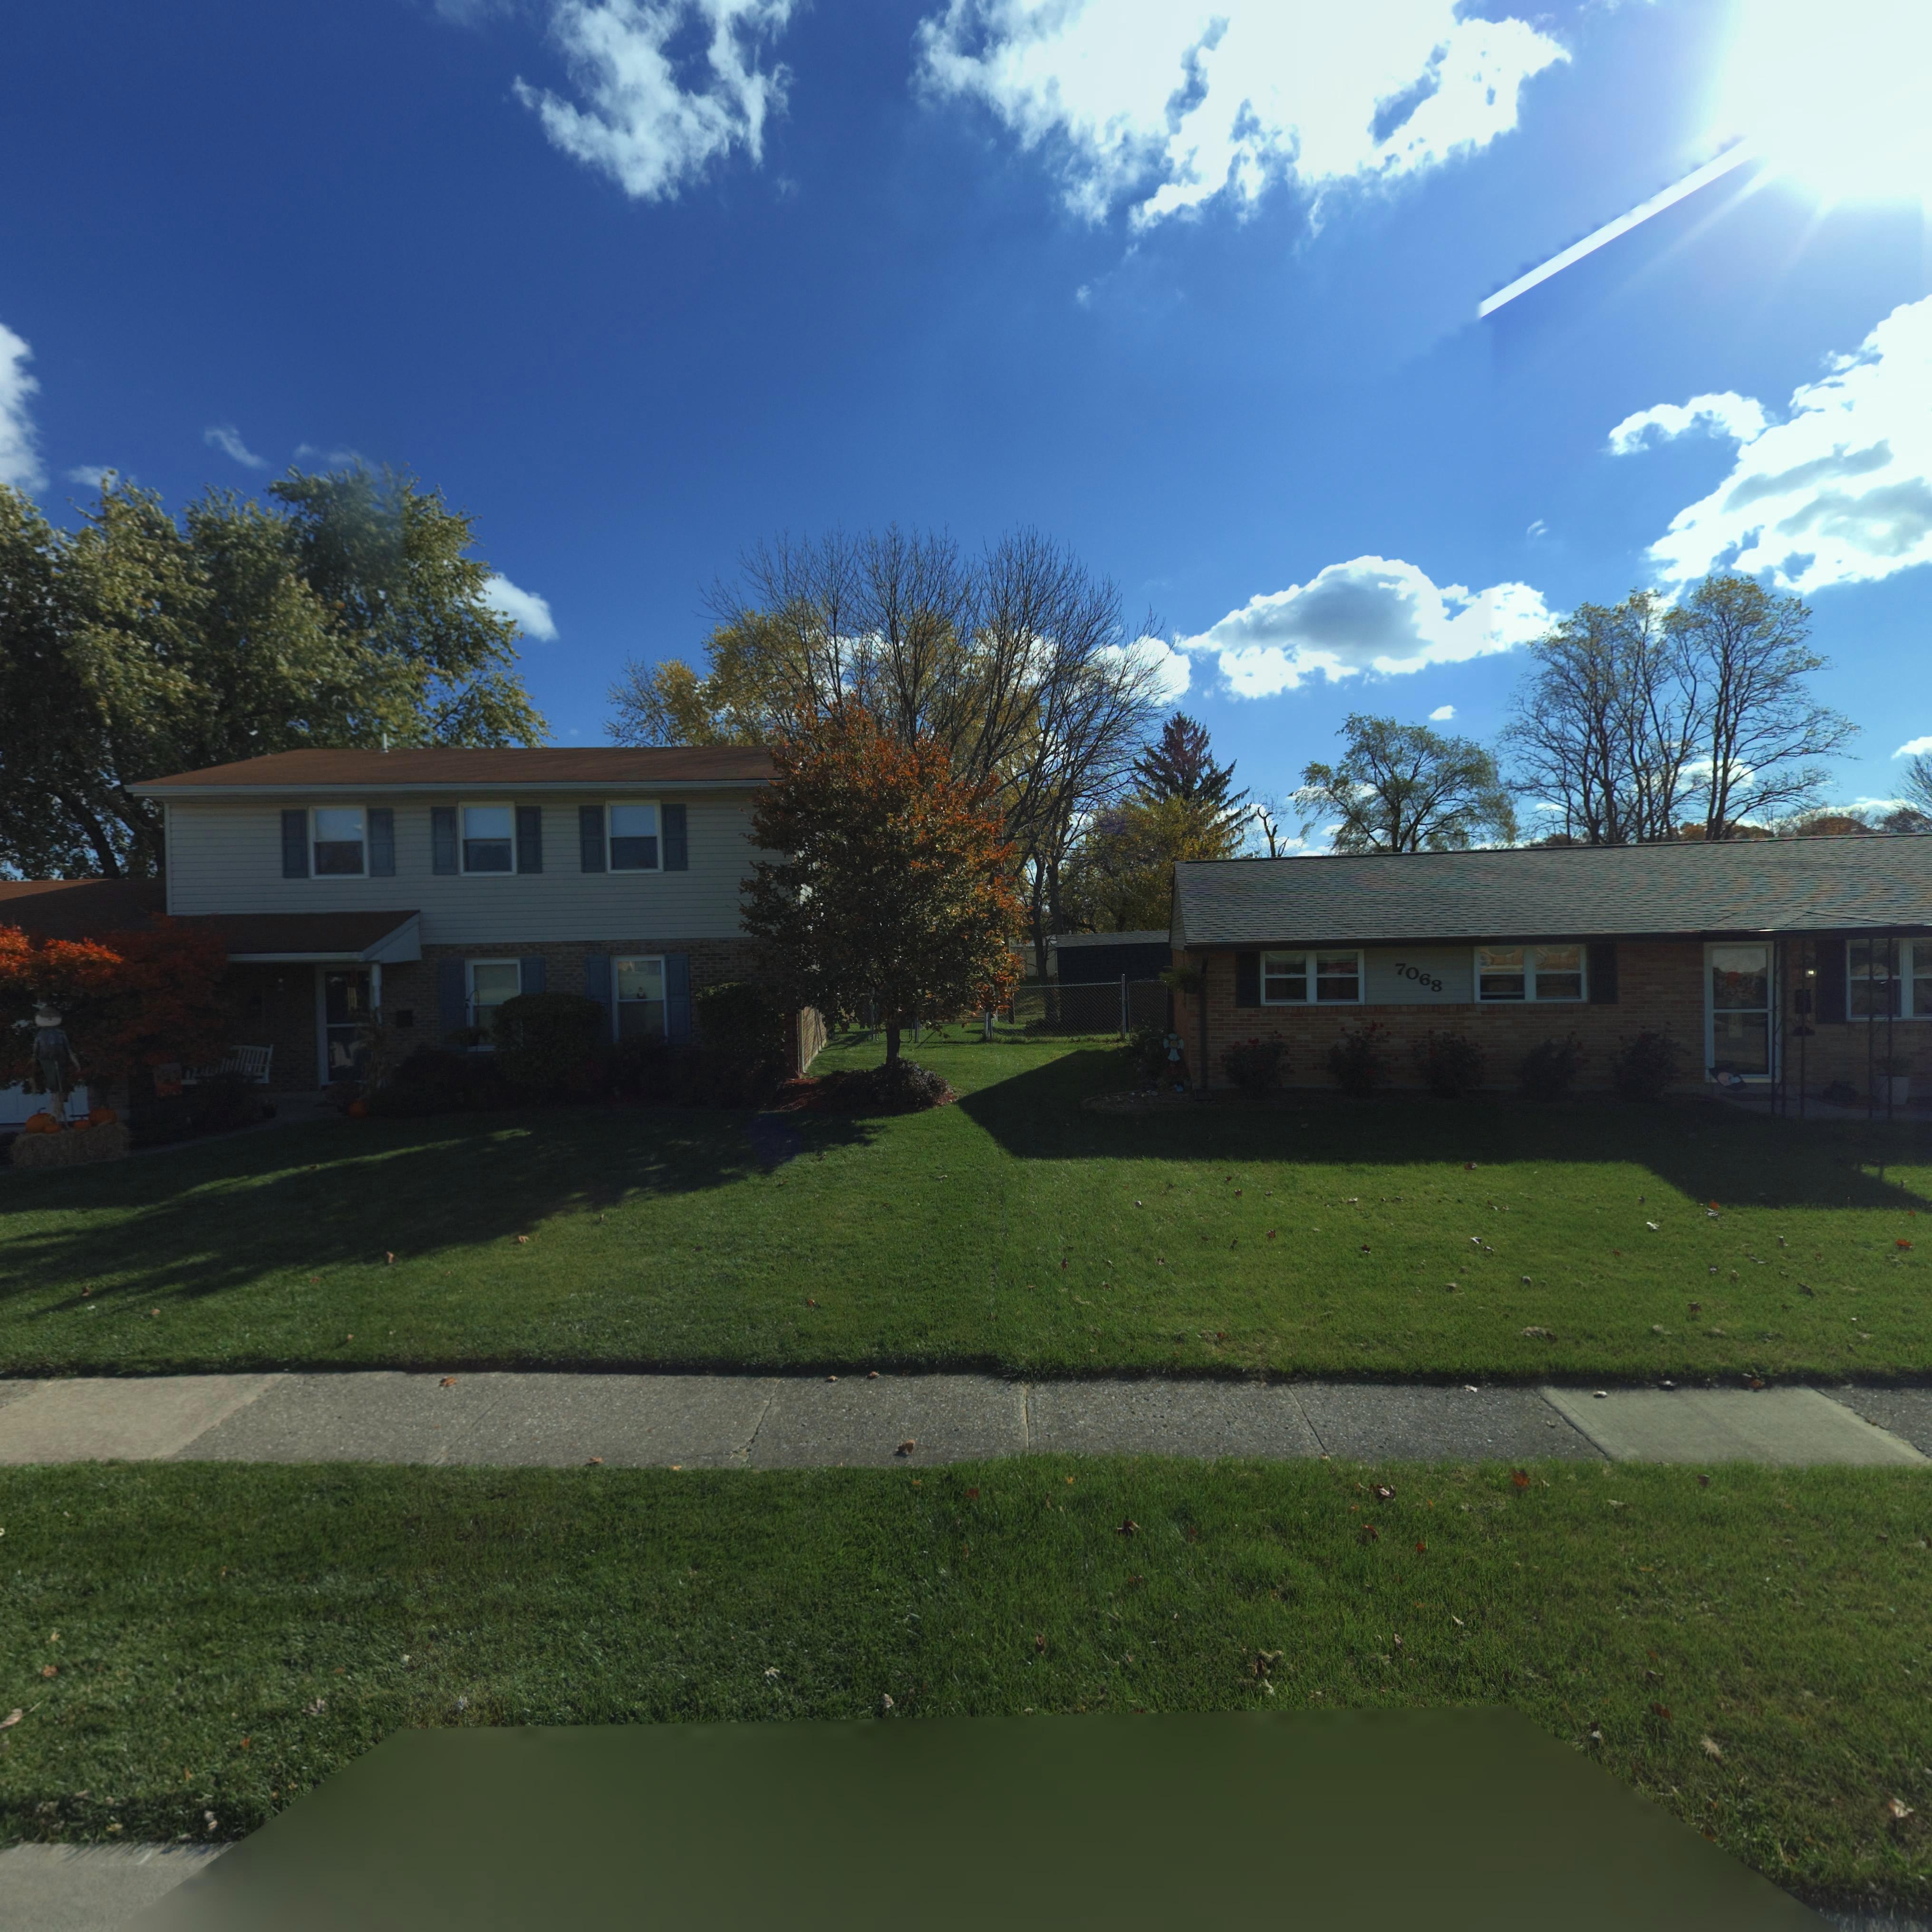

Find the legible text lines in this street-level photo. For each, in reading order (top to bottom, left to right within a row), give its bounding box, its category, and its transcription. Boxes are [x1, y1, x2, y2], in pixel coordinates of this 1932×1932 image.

[1394, 962, 1443, 994] StreetNumber: 7068